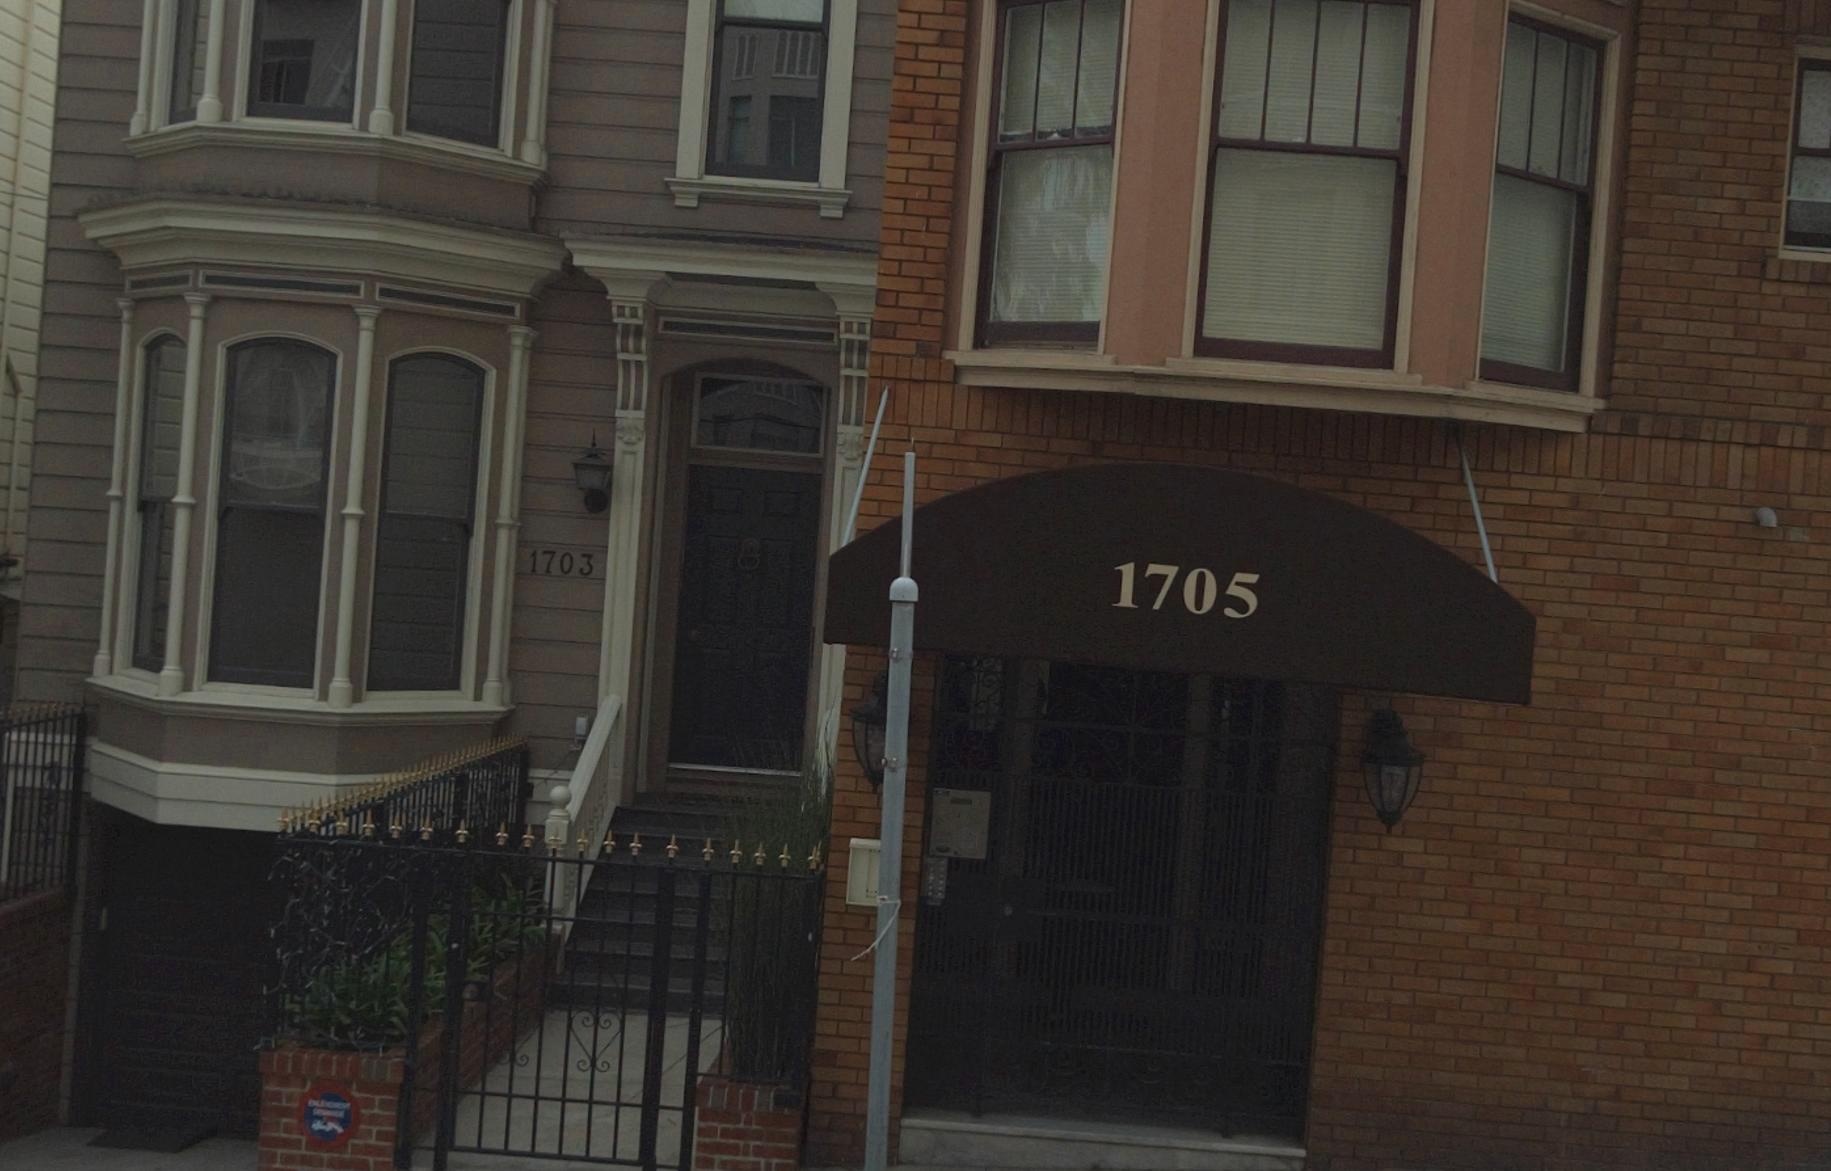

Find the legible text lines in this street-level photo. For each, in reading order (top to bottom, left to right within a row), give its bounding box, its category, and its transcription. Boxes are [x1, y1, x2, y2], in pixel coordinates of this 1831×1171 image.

[529, 548, 596, 577] StreetNumber: 1703
[1110, 558, 1261, 621] StreetNumber: 1705